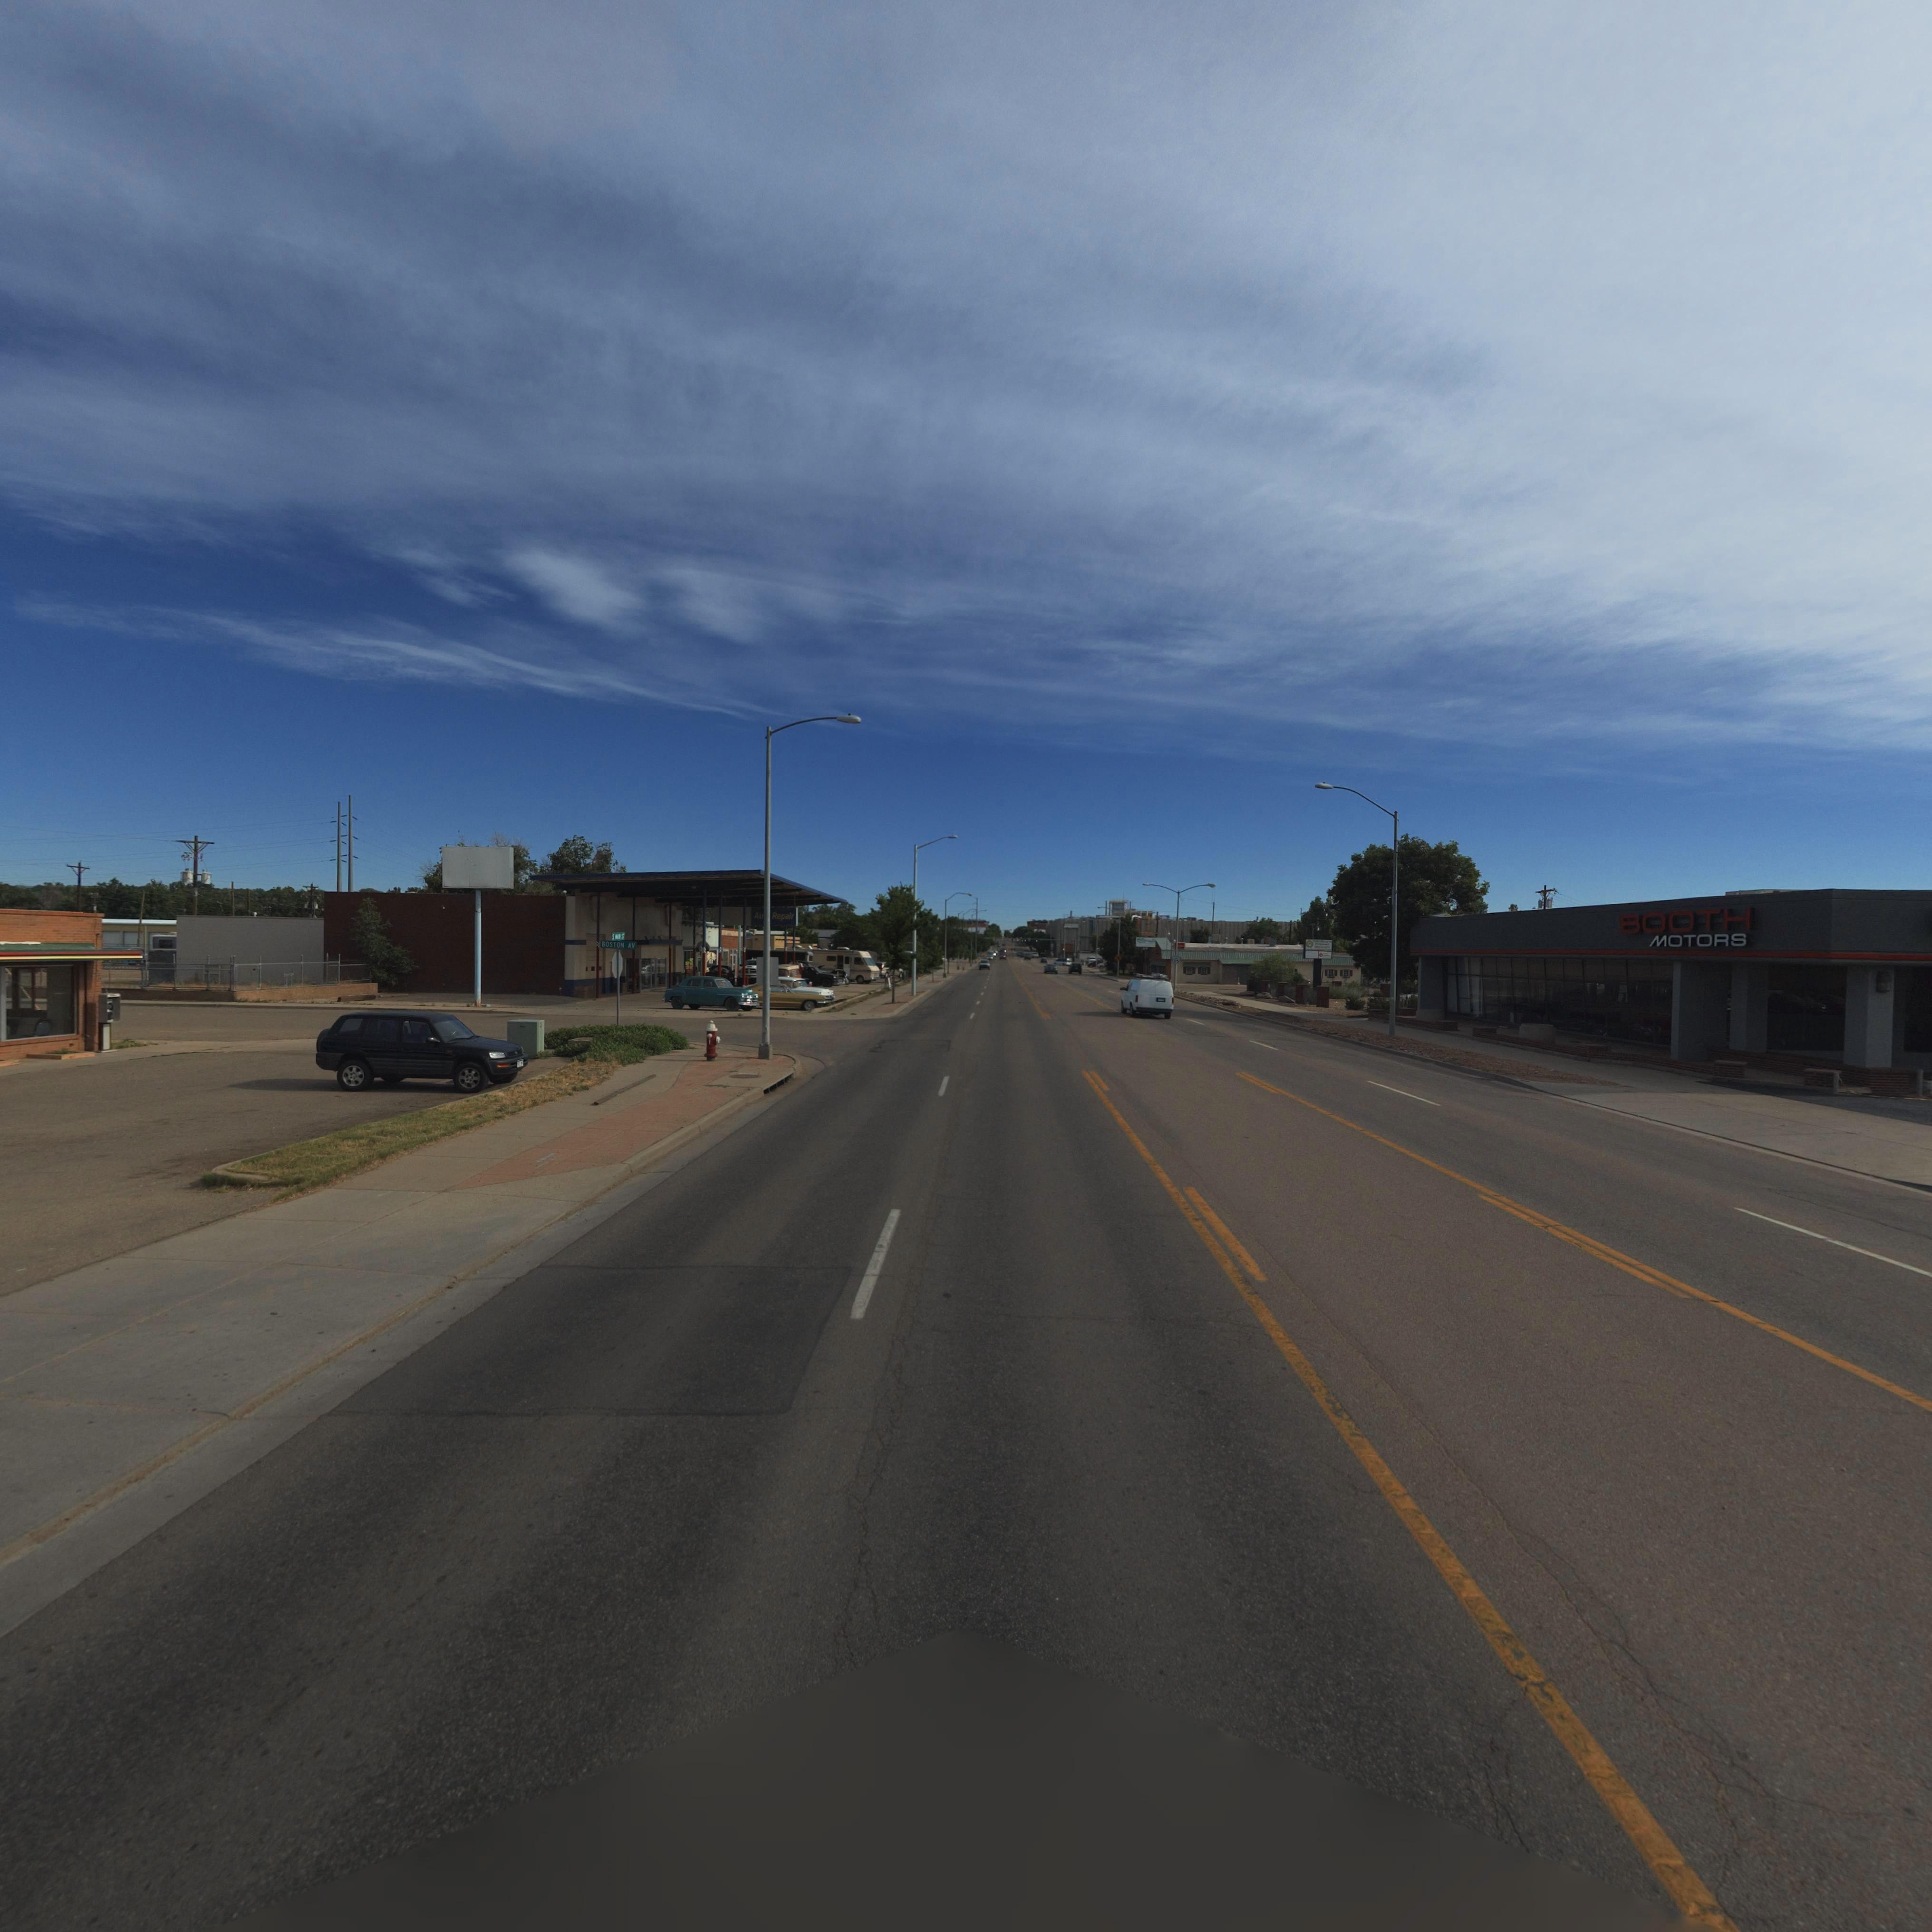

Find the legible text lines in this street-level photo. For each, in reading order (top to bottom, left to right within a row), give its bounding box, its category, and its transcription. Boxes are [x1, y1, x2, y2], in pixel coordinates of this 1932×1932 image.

[1620, 907, 1751, 934] BusinessName: BOOTH
[612, 933, 624, 940] StreetName: S **** ST
[602, 941, 636, 948] StreetName: BOSTON AV
[1649, 933, 1747, 947] BusinessName: MOTORS